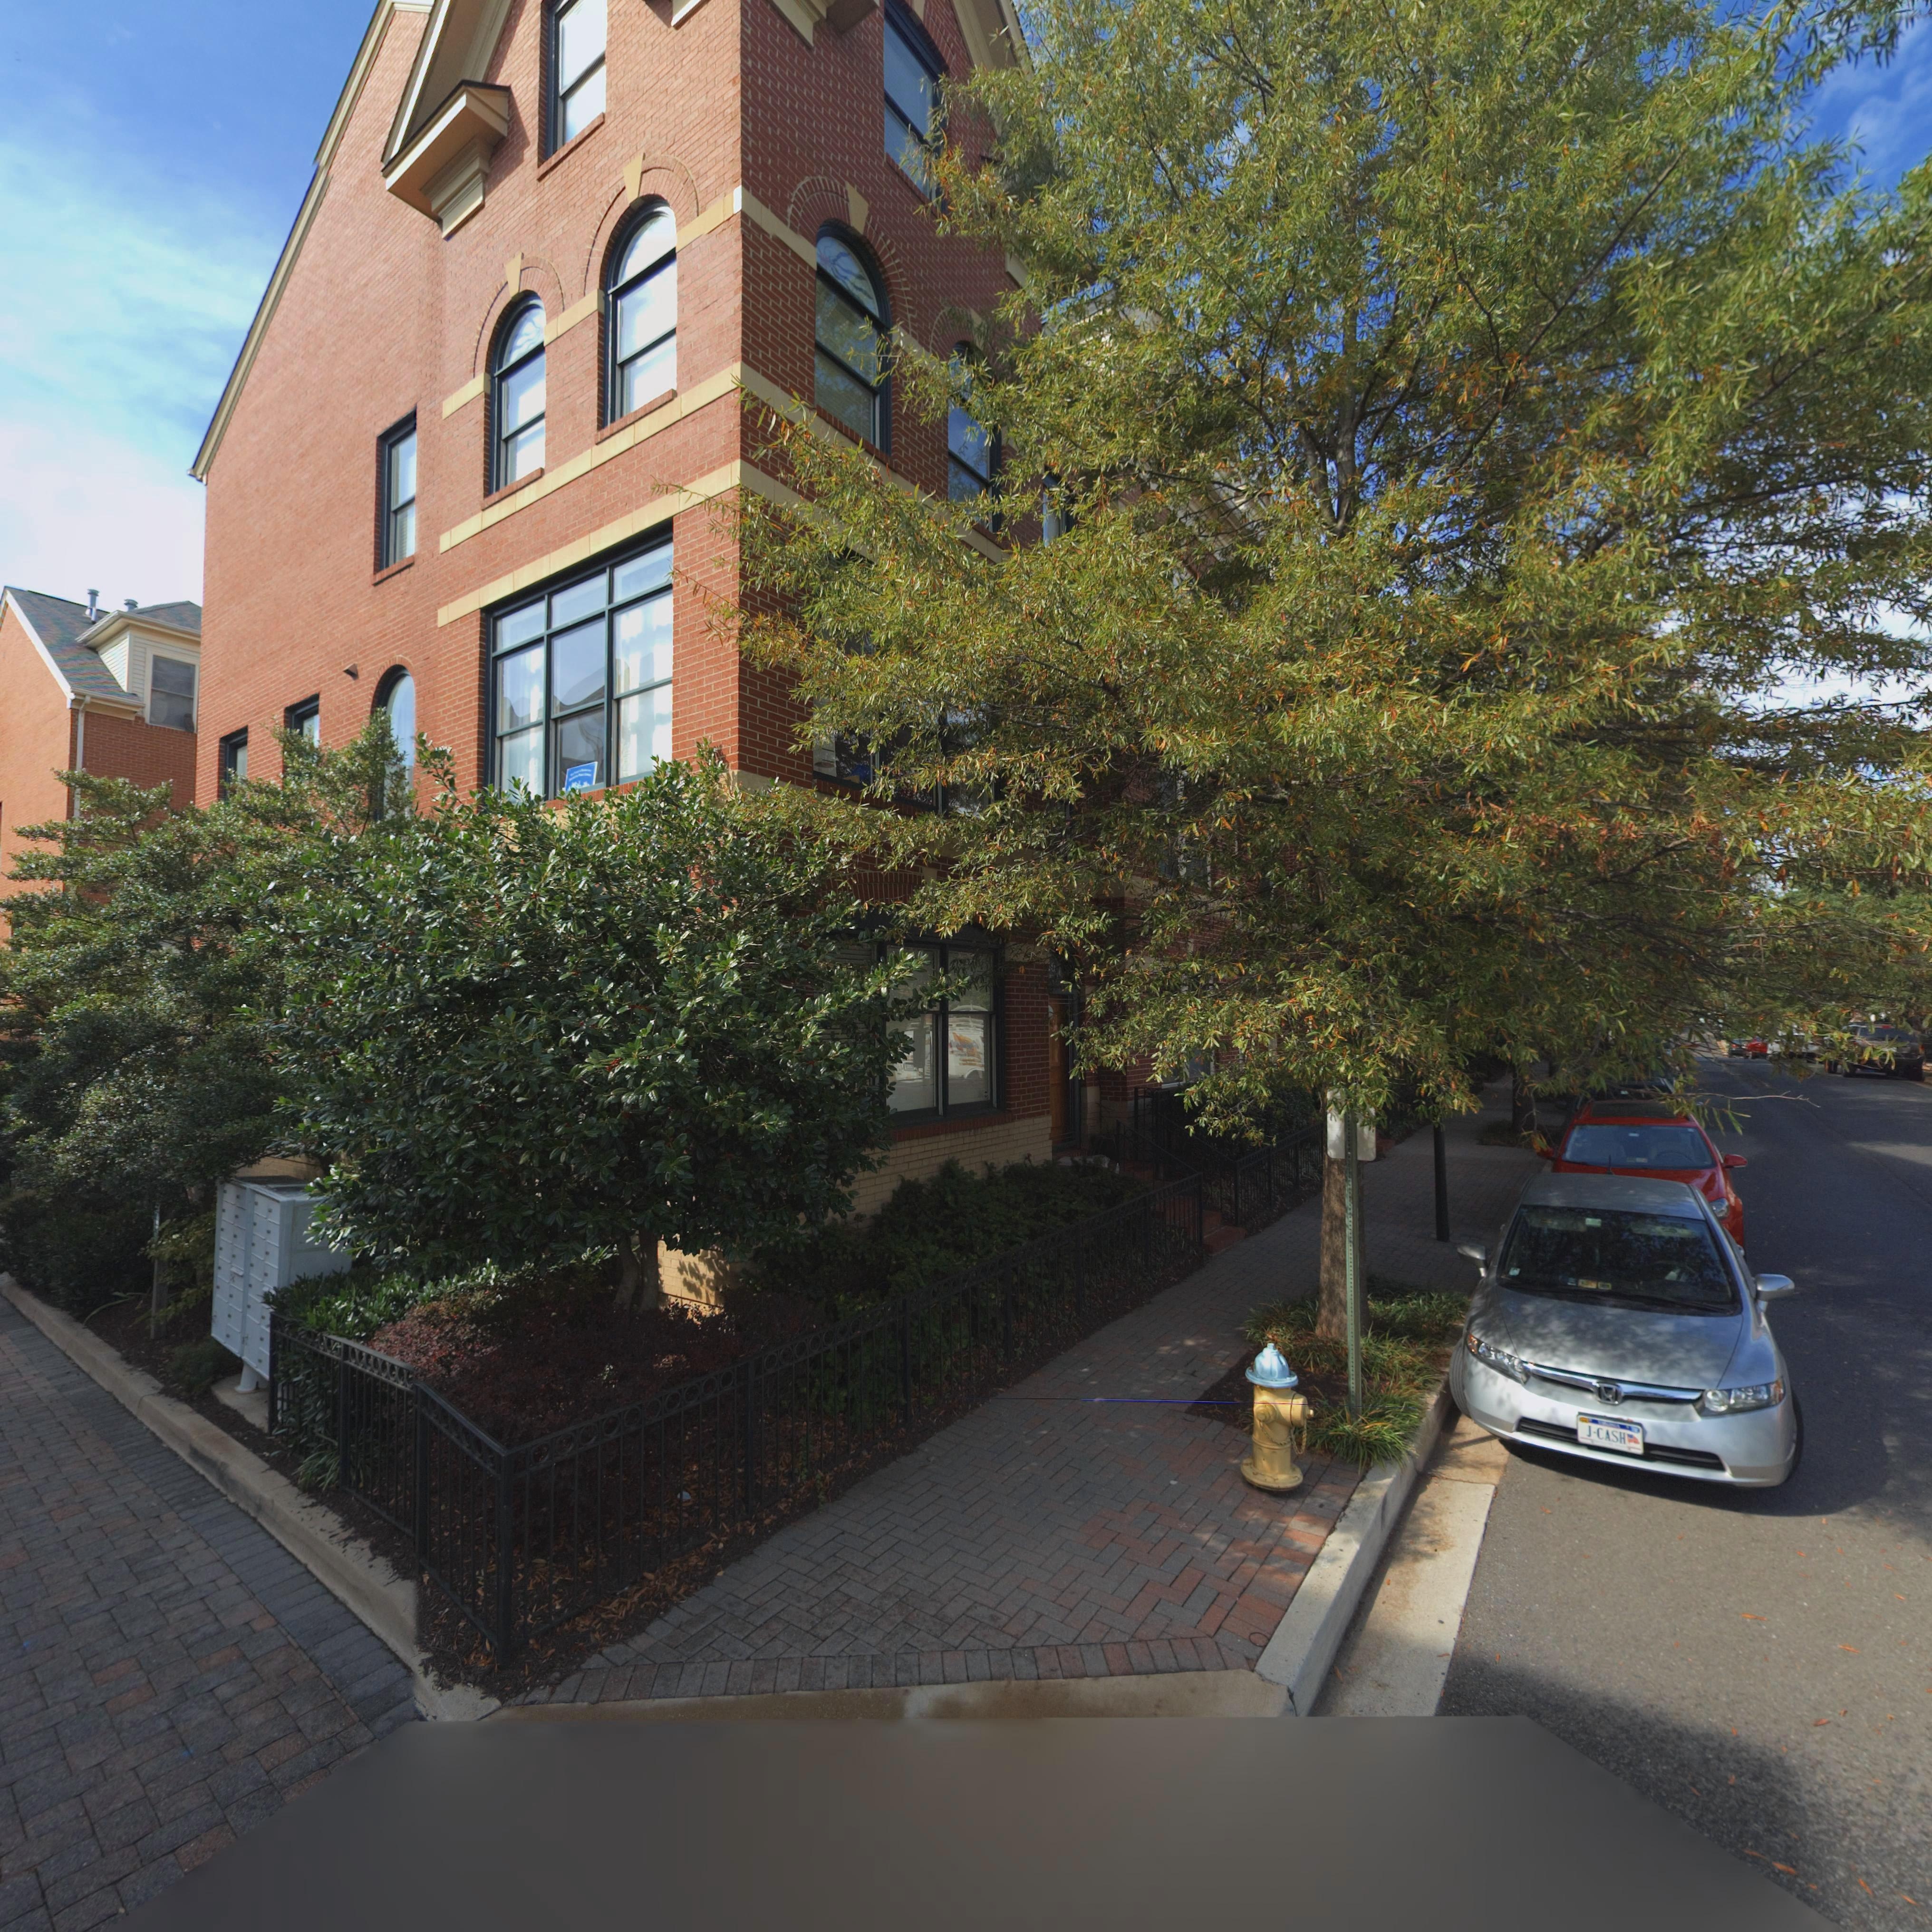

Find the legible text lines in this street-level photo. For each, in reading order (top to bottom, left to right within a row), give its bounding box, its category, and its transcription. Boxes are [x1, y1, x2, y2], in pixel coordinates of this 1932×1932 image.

[1584, 1423, 1628, 1447] None: J-CASH